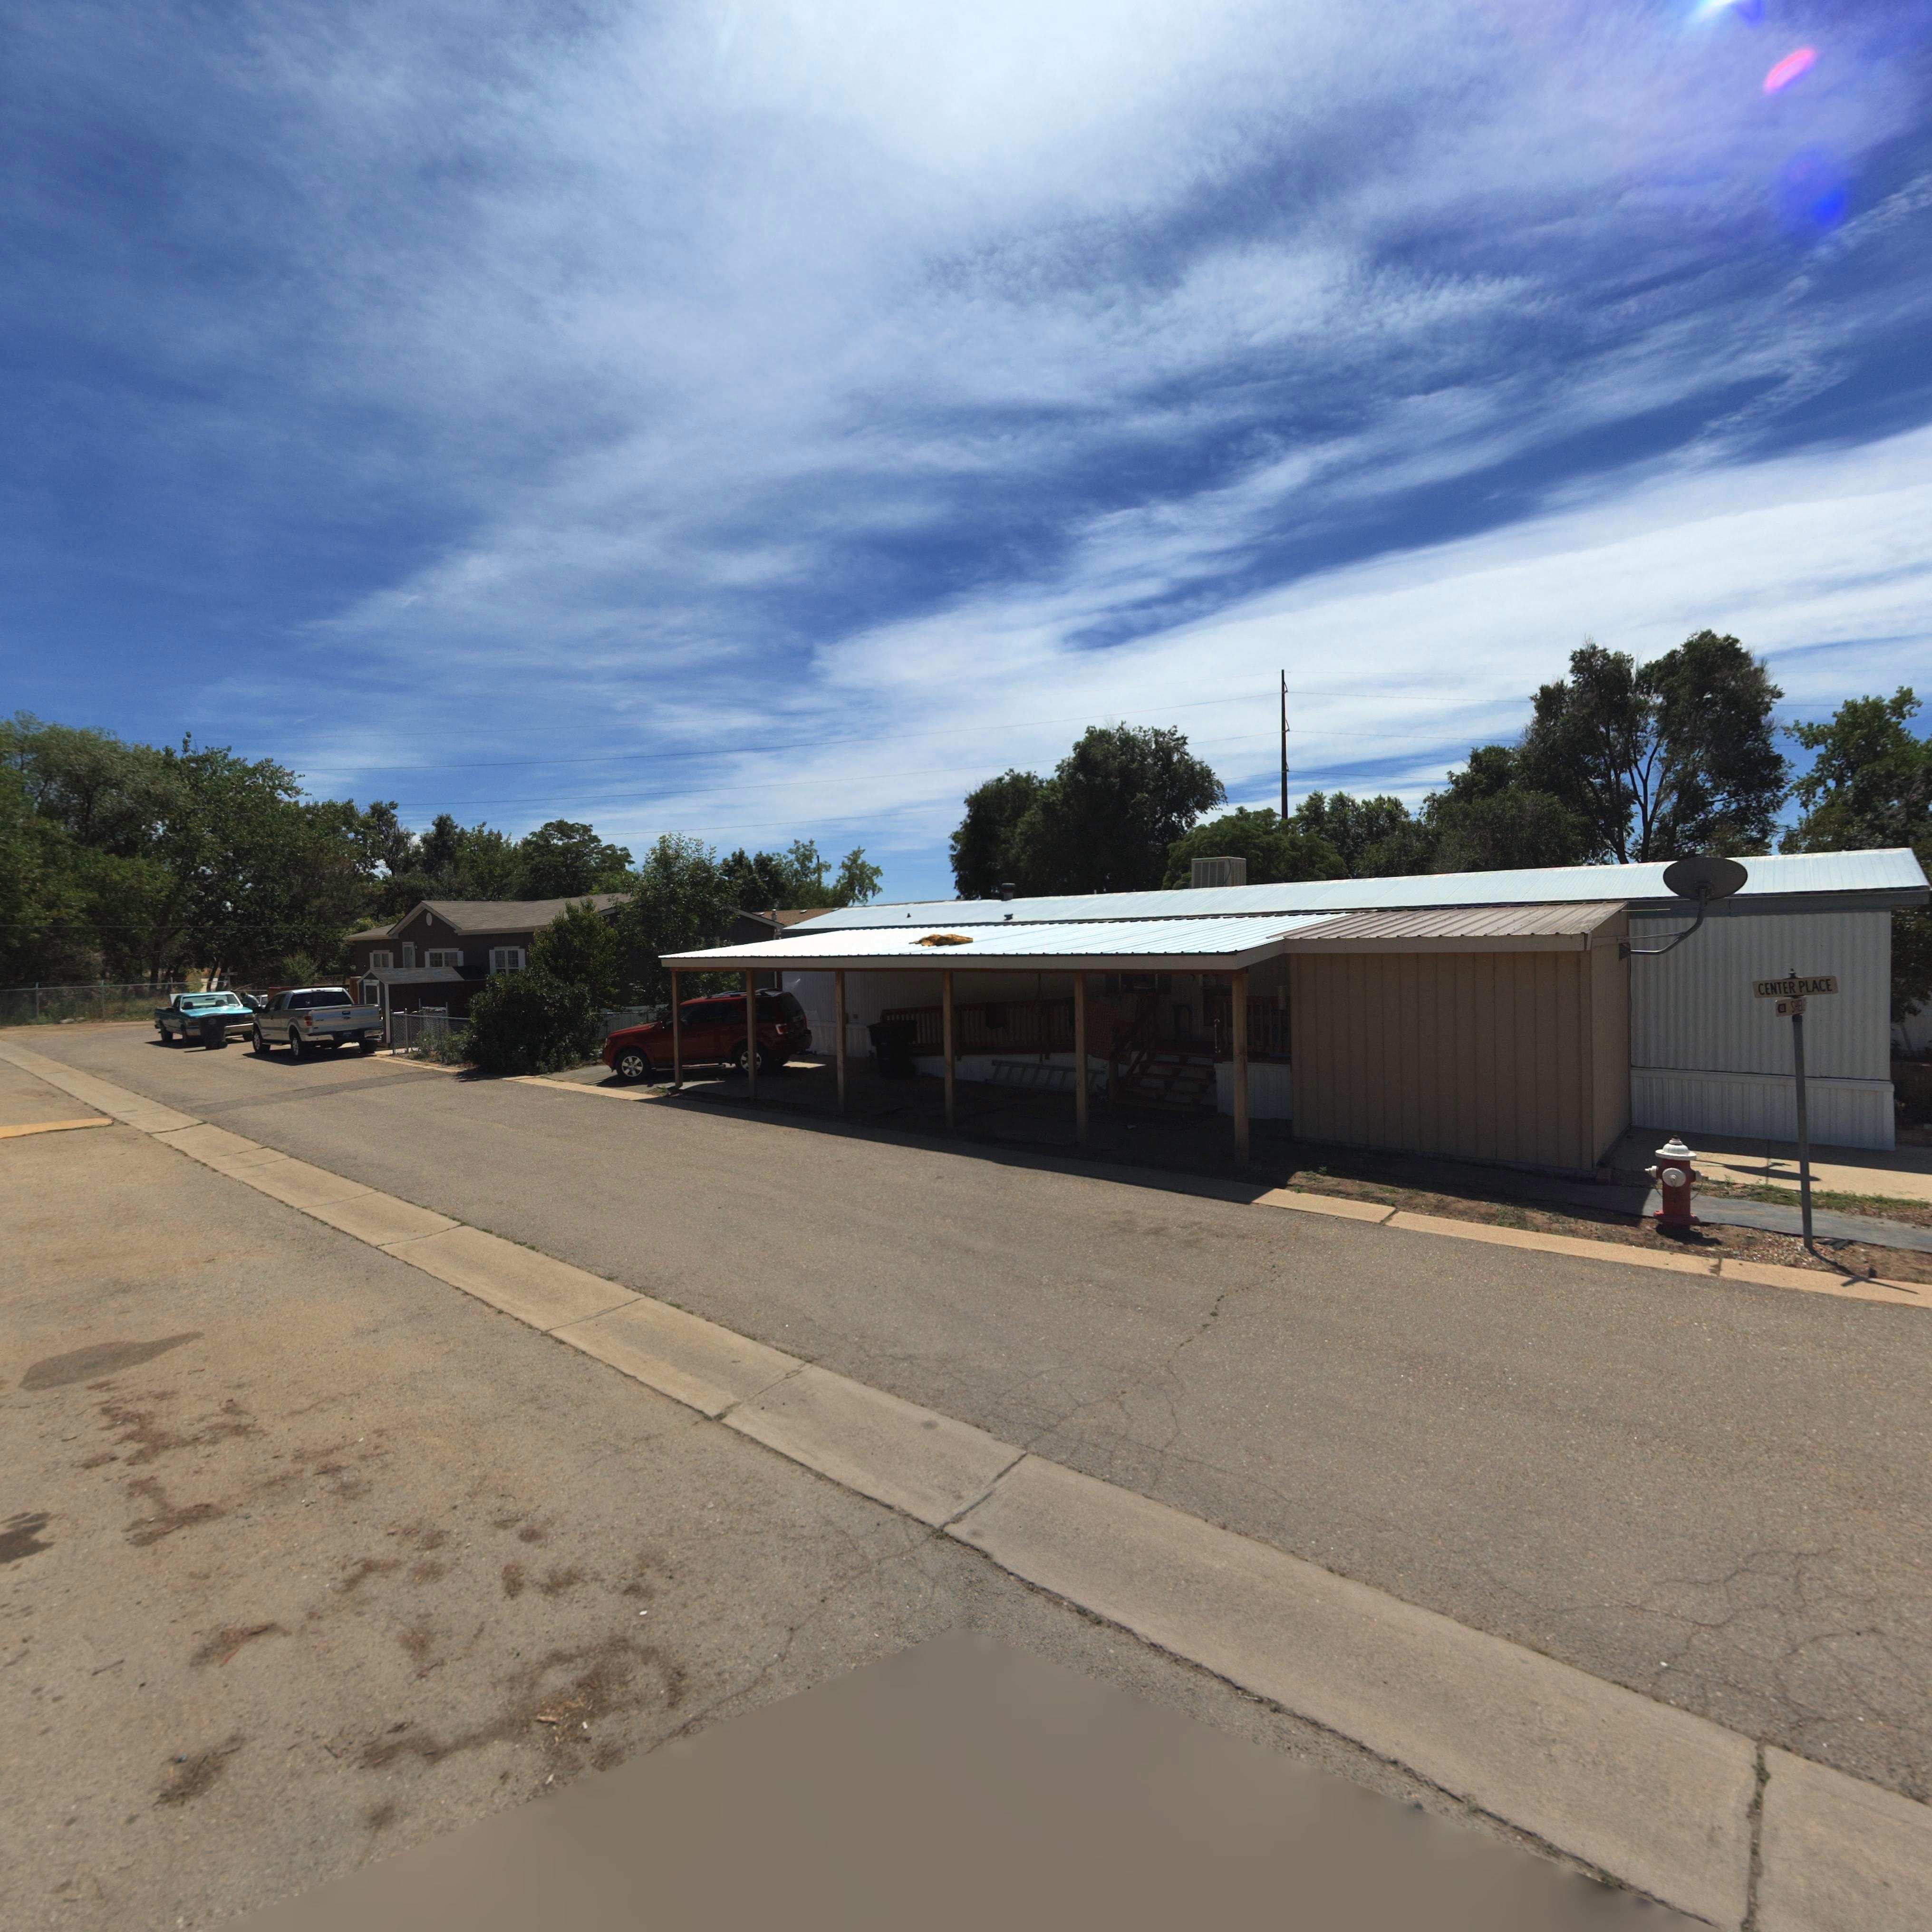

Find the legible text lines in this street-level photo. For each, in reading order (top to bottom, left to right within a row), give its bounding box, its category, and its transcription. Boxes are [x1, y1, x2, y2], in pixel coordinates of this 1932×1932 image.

[1757, 978, 1833, 996] StreetName: CENTER PLACE
[1790, 998, 1806, 1014] StreetName: SMEL